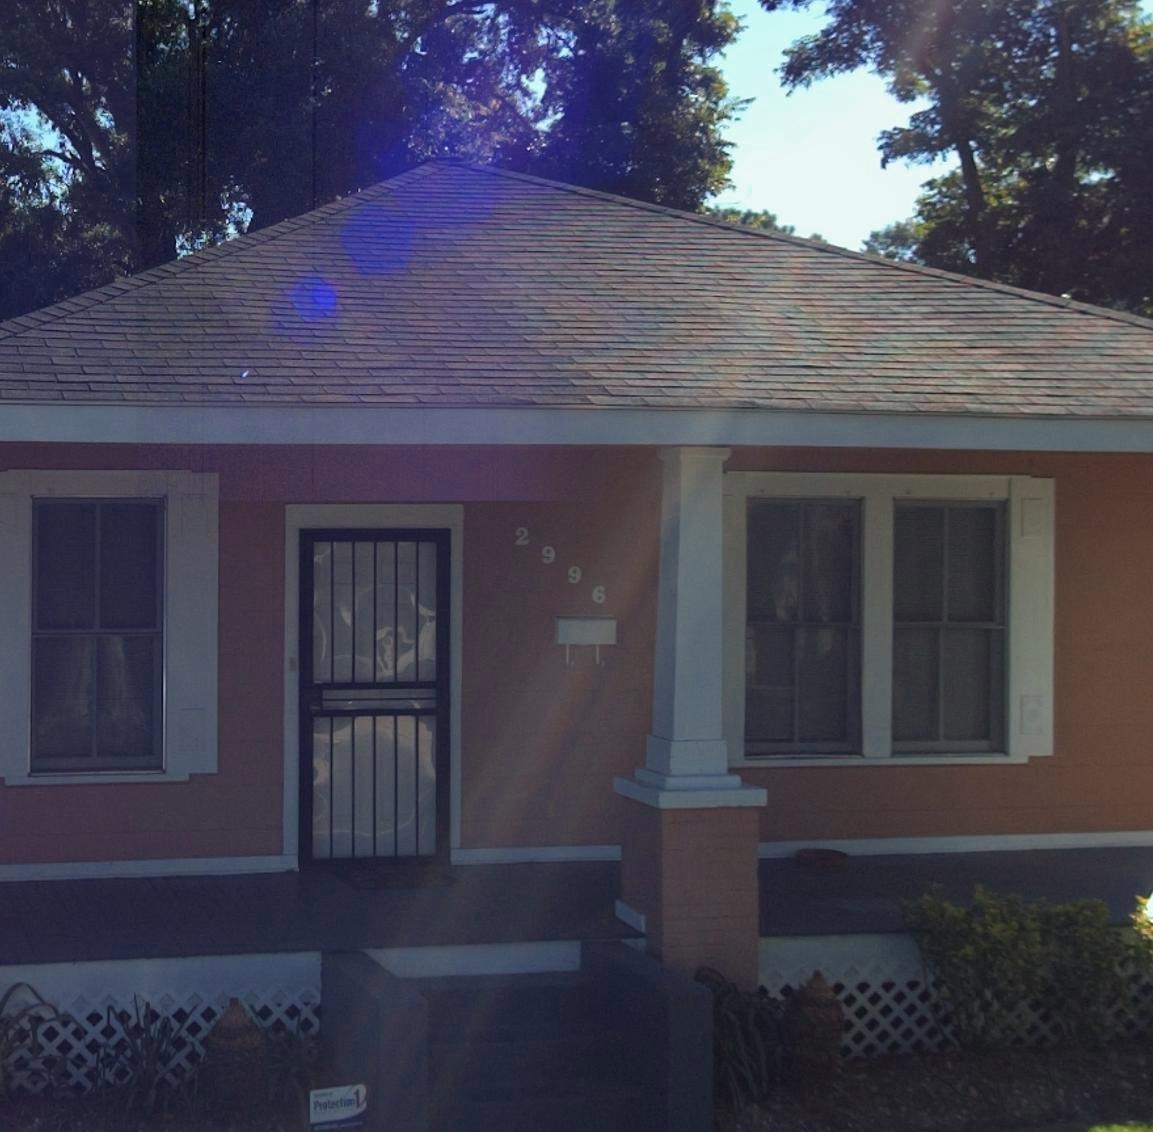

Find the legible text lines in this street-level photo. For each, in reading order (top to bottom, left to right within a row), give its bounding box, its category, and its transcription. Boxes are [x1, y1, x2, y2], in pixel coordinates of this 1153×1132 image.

[512, 524, 608, 606] StreetNumber: 2996